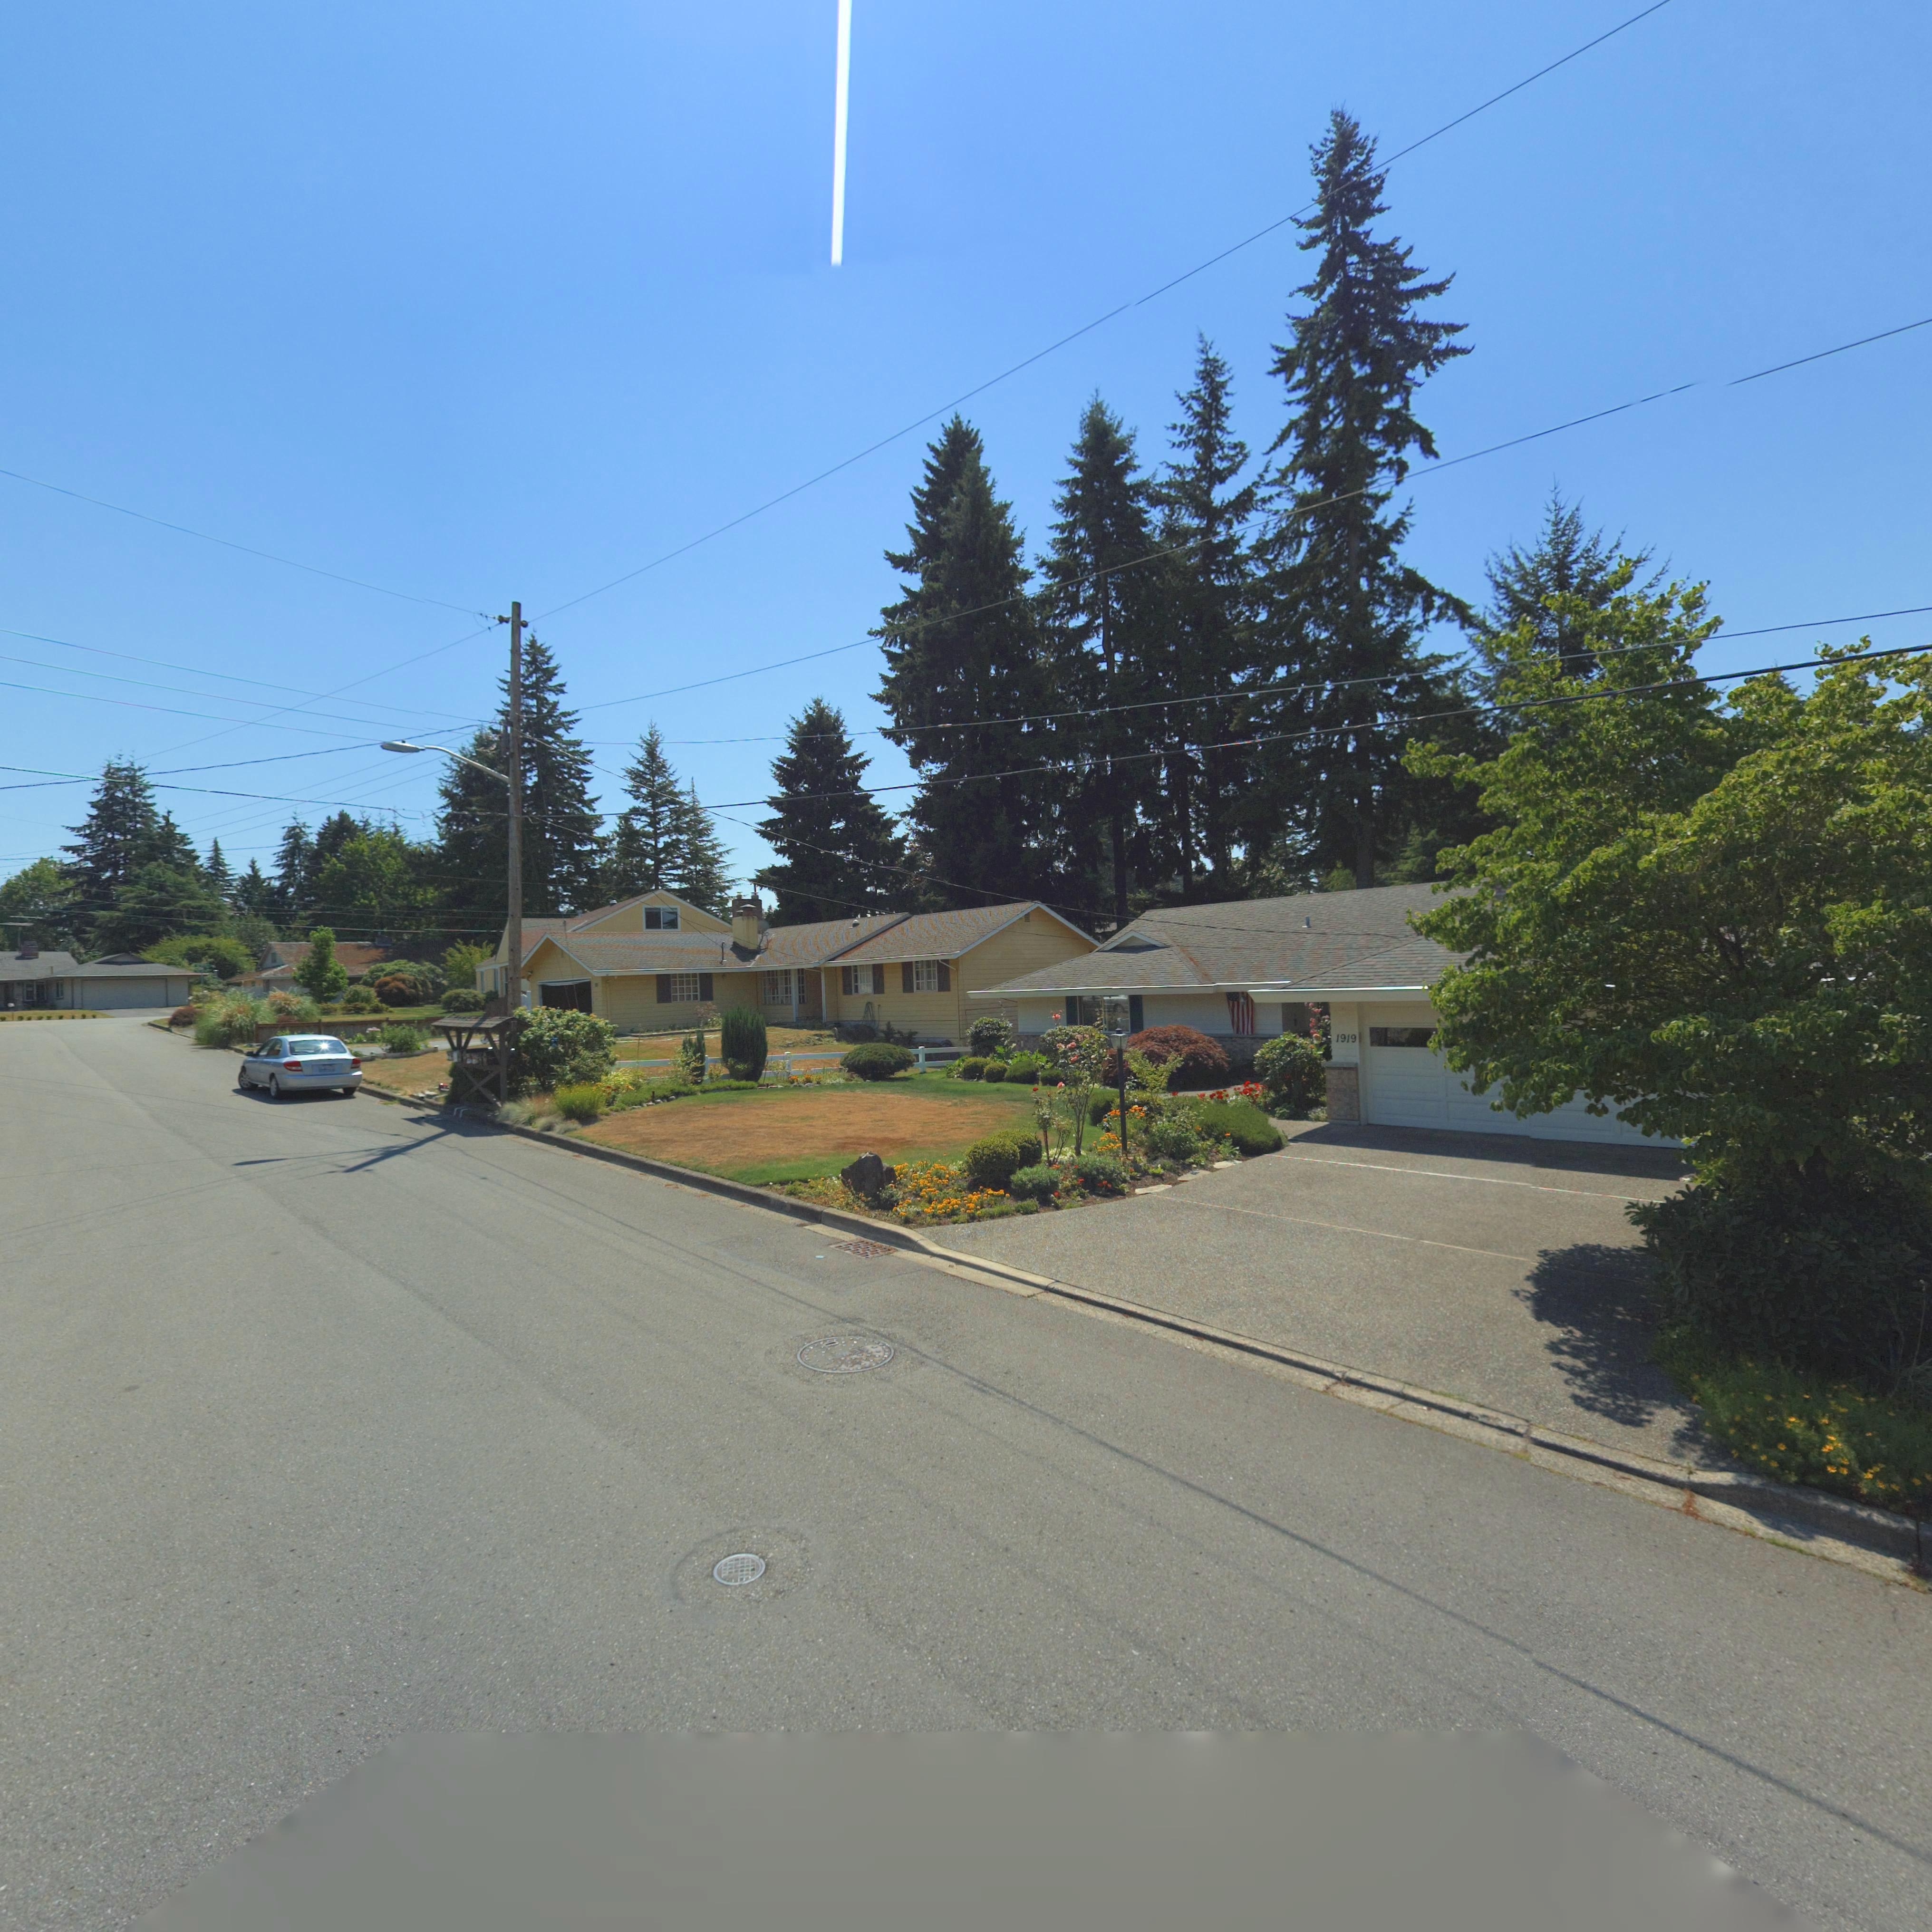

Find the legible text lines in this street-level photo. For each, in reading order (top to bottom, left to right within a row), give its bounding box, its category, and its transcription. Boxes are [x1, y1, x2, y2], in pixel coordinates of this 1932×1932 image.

[1335, 1033, 1356, 1043] StreetNumber: 1919